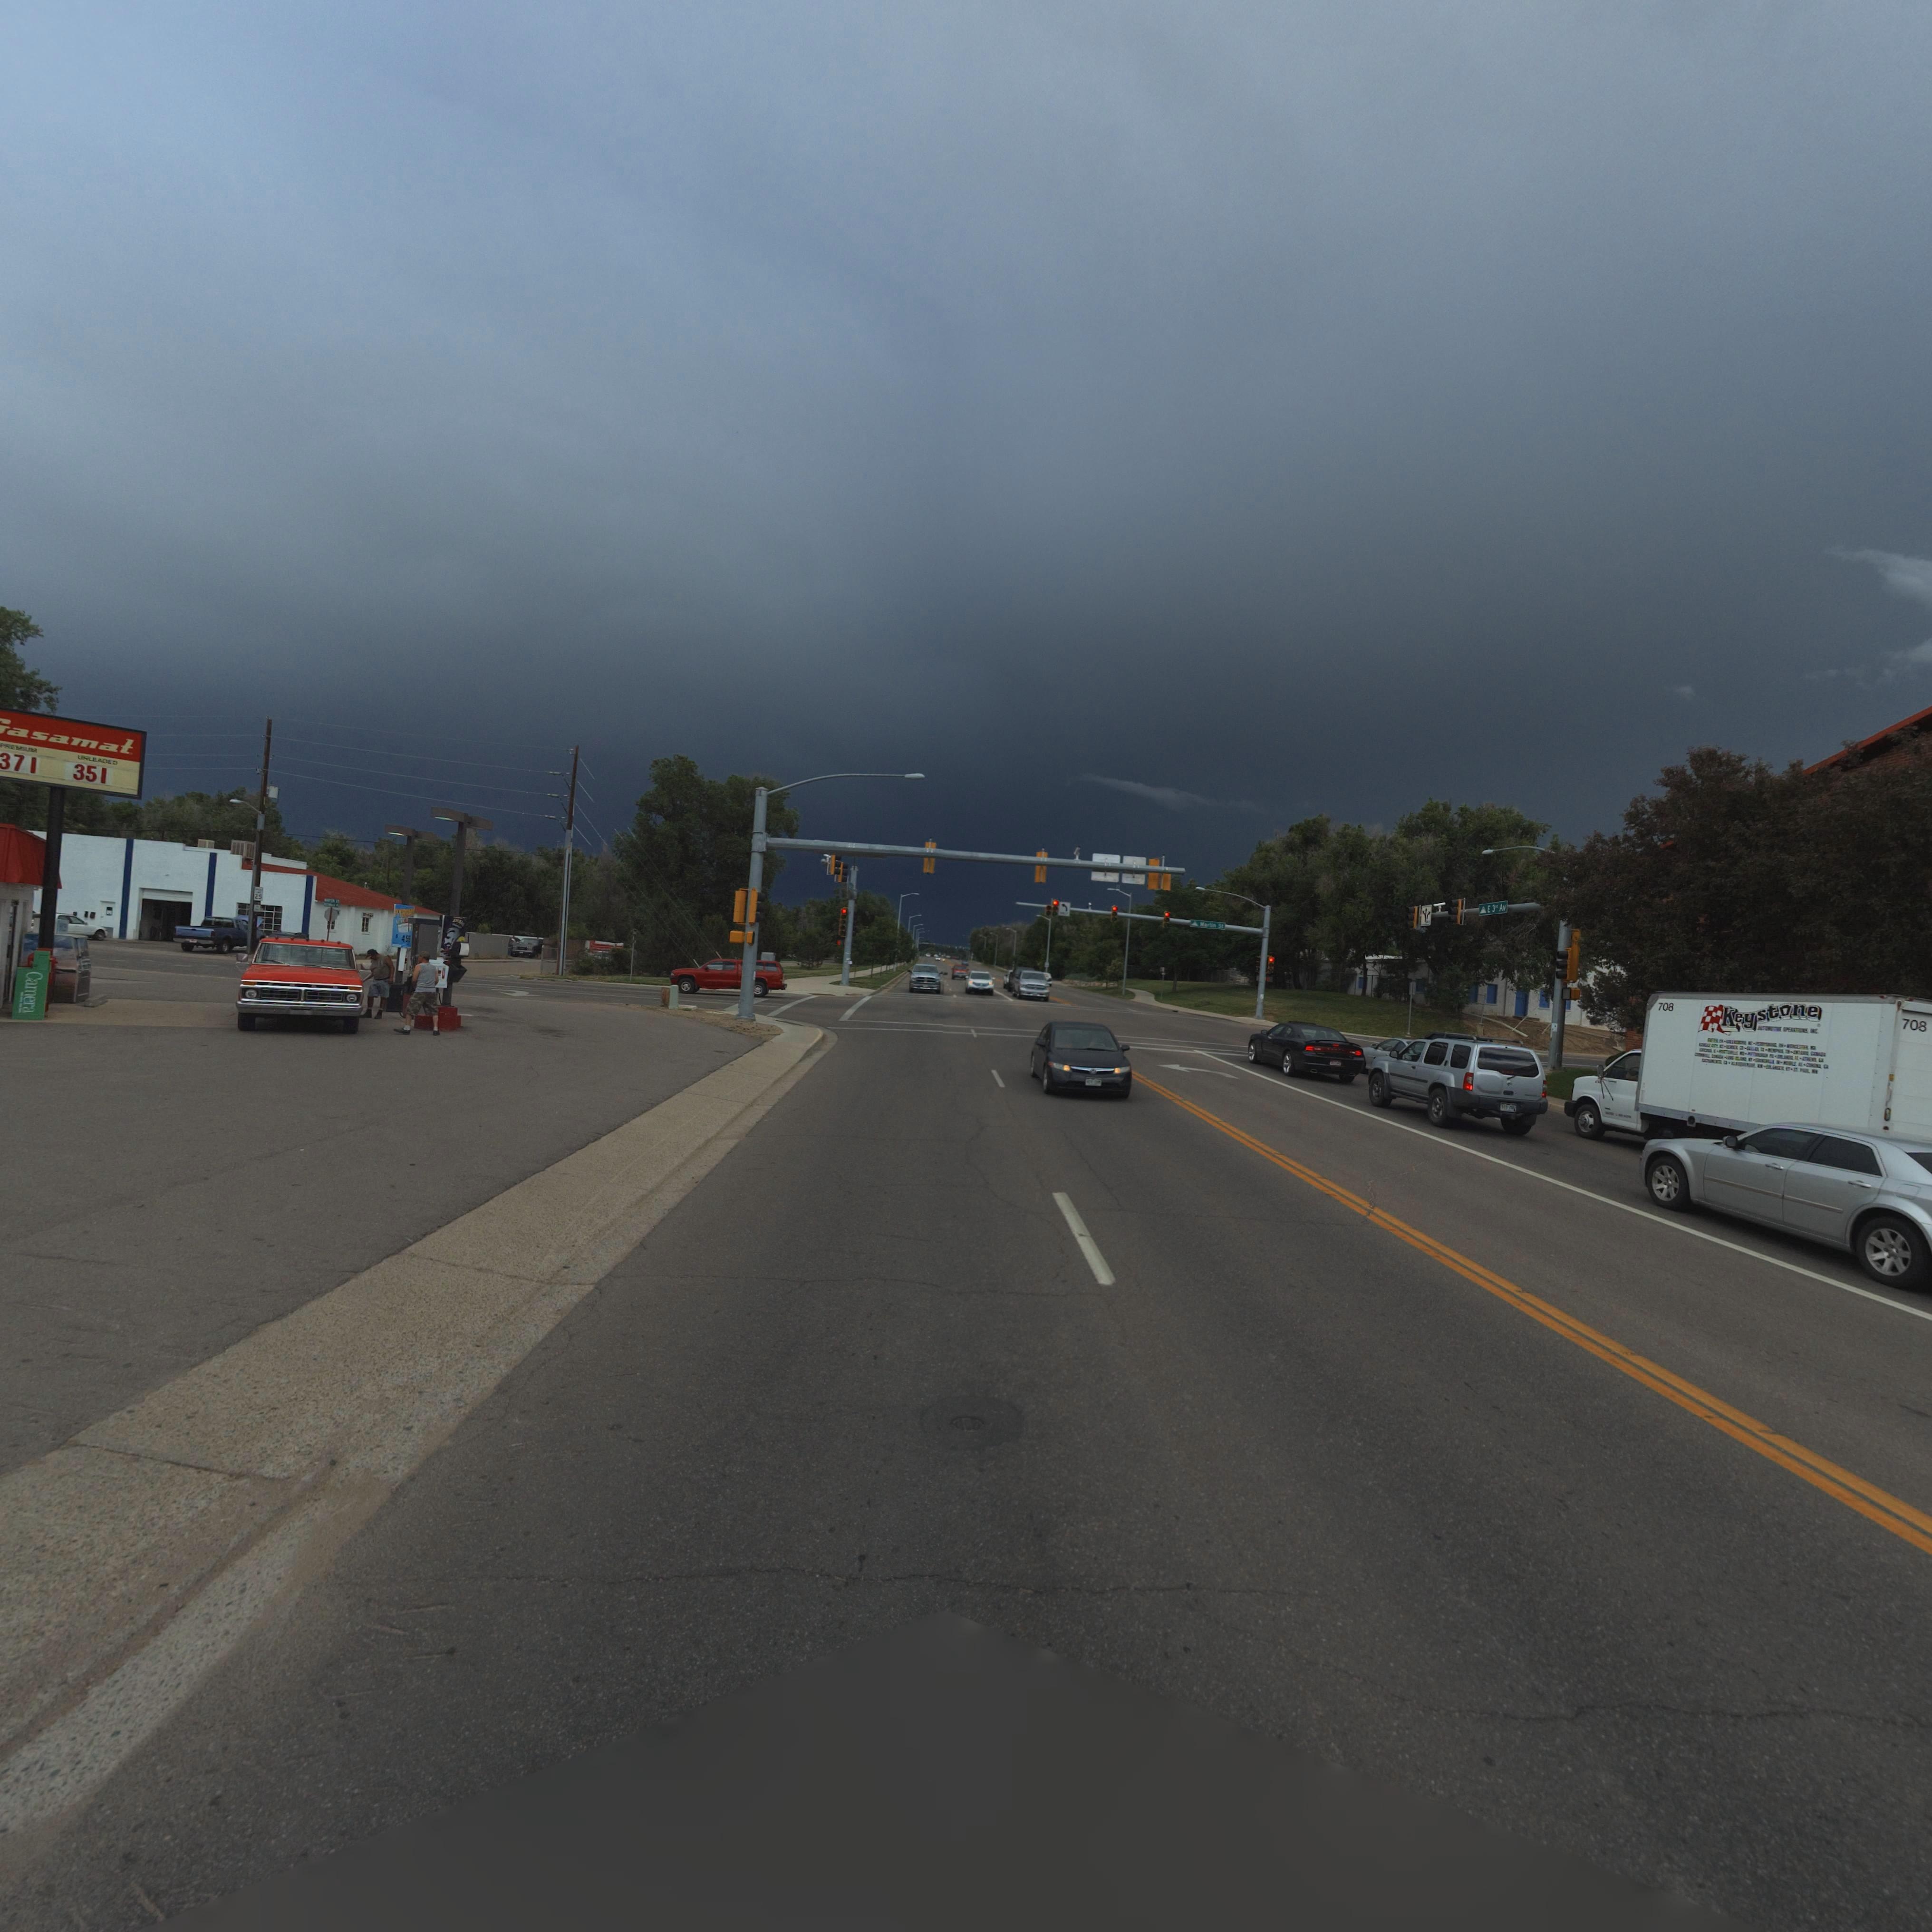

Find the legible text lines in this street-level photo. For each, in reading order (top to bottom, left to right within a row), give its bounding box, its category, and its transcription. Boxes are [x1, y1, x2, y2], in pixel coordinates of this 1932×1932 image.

[6, 726, 135, 754] BusinessName: asamat
[1487, 903, 1507, 913] StreetName: E 3rd Av
[1199, 921, 1224, 928] BusinessName: Martin St